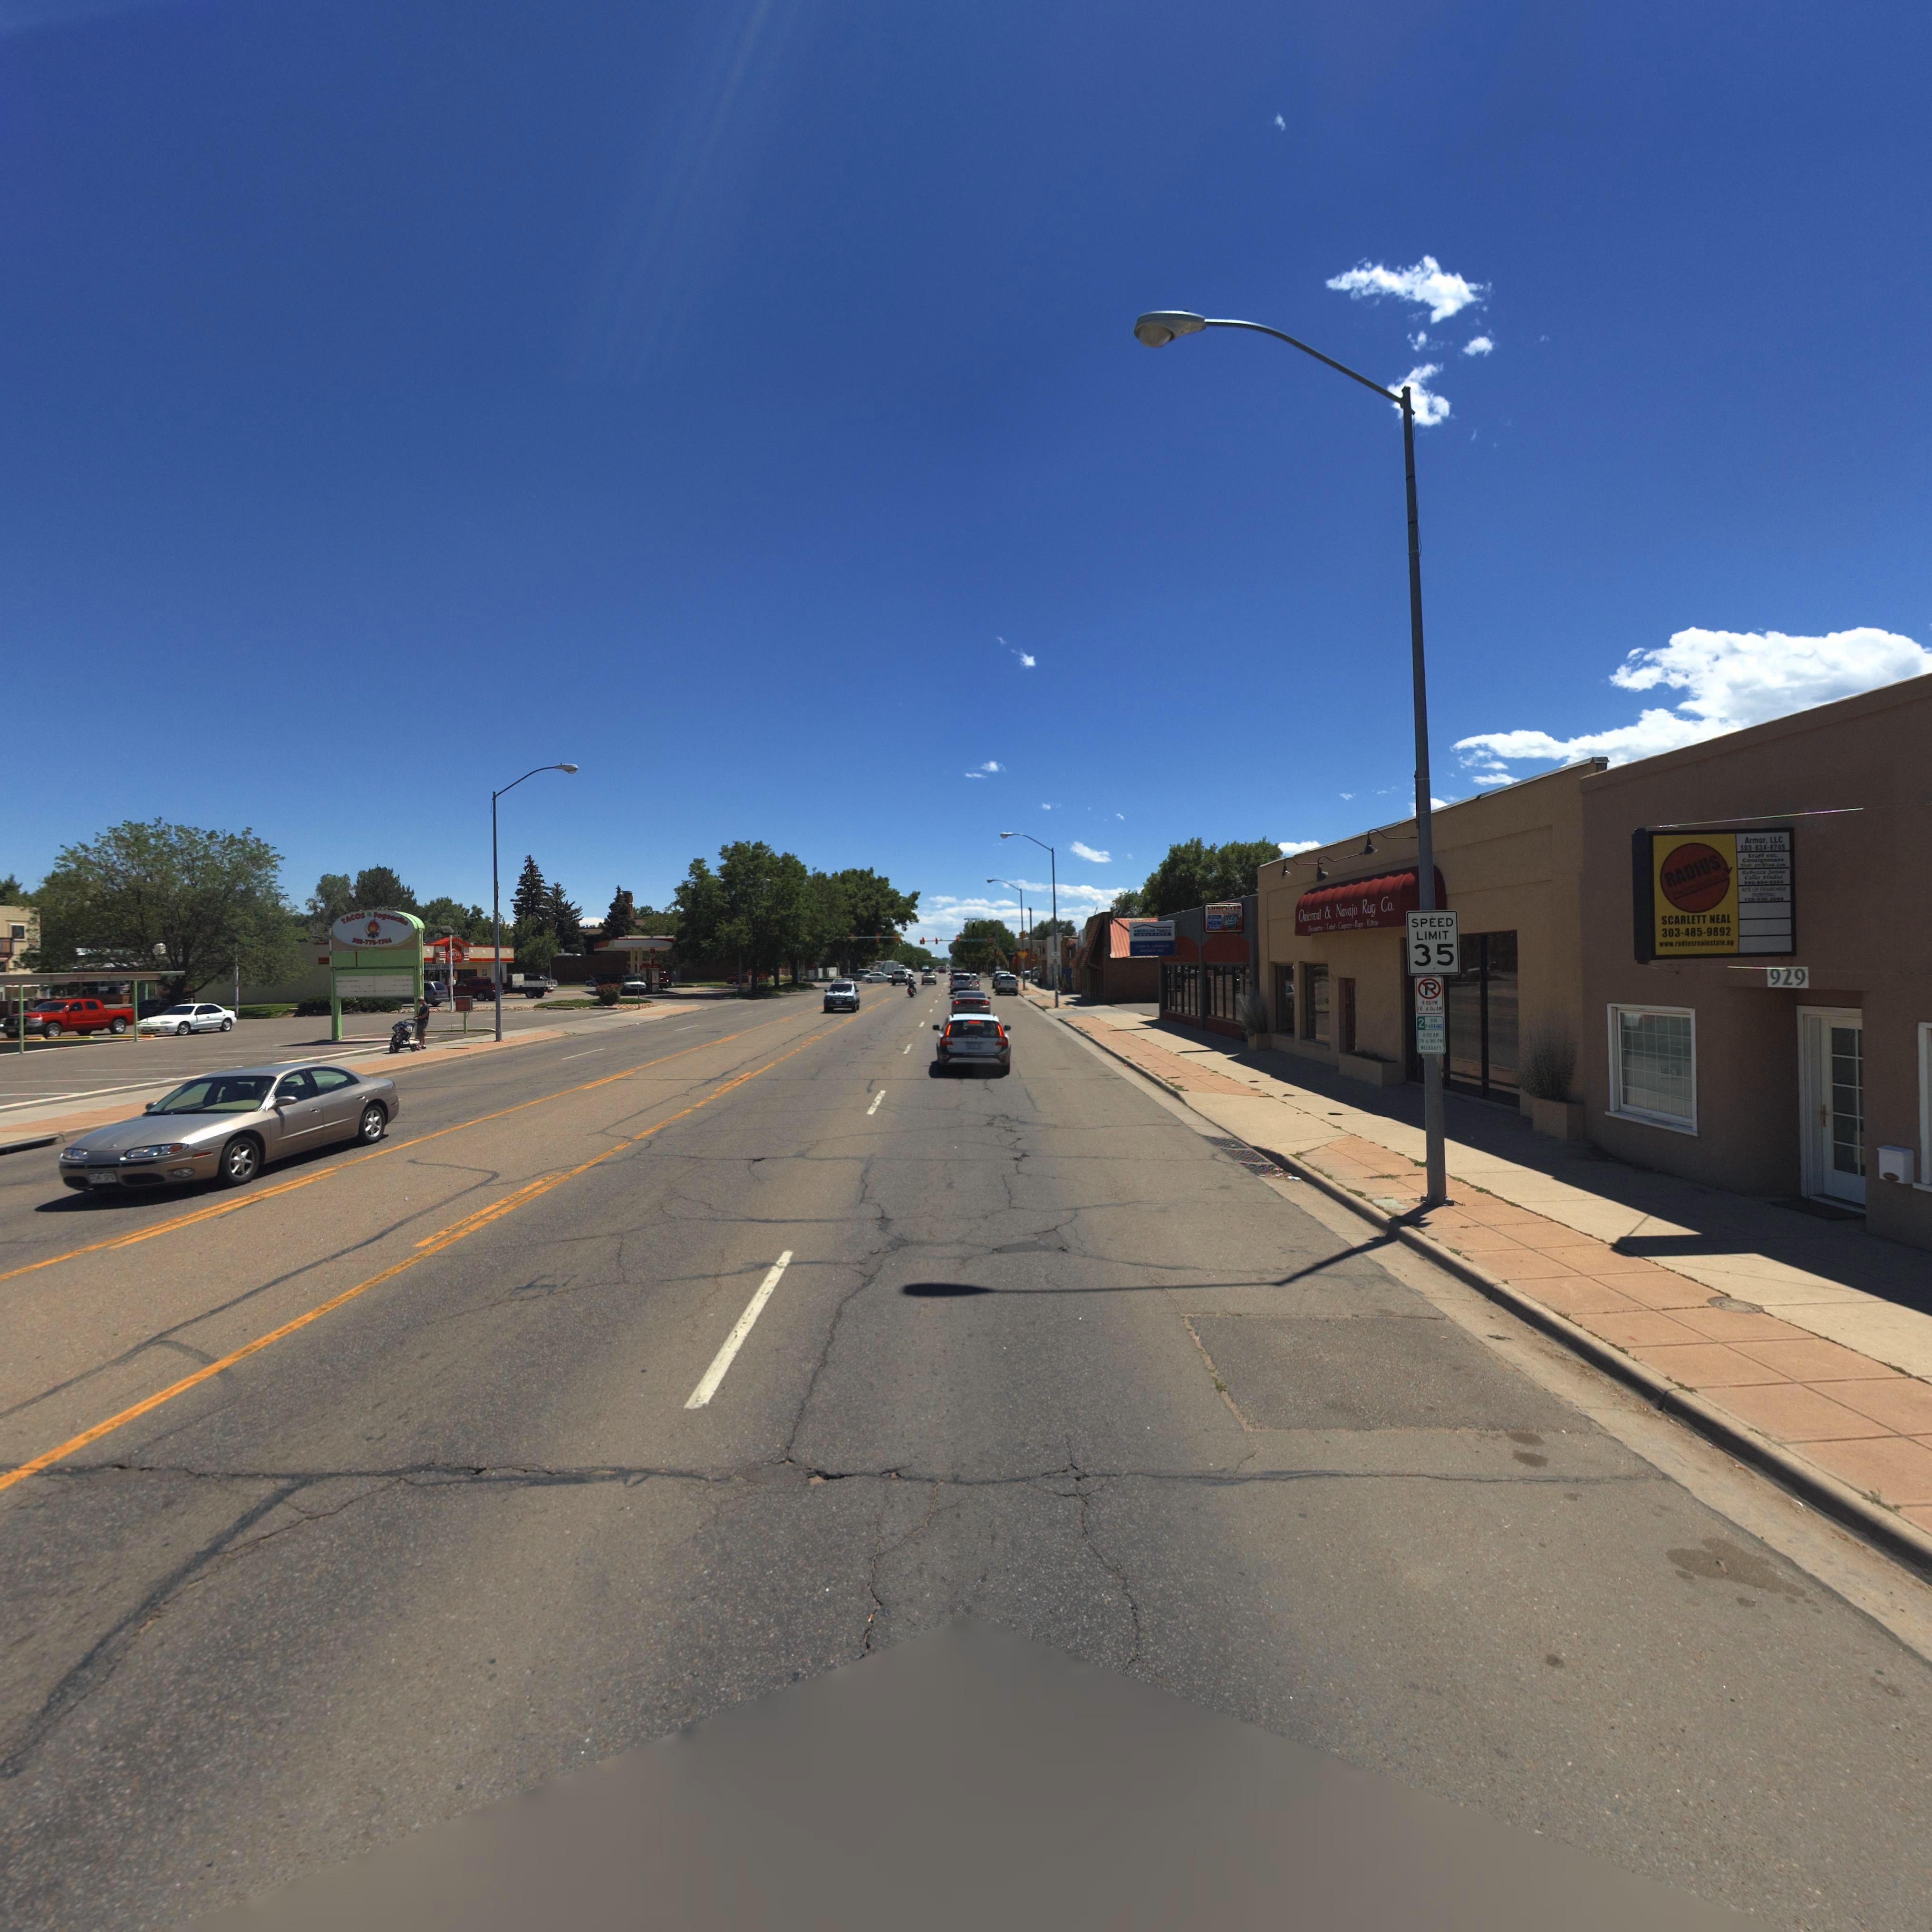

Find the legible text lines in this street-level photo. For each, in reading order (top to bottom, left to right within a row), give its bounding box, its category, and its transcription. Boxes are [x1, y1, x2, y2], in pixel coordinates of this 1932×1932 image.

[1744, 836, 1783, 843] StreetNumber: Armor, LLC
[1748, 852, 1778, 858] BusinessName: Staff etc.
[1741, 857, 1784, 864] BusinessName: Consignment
[1662, 854, 1721, 889] BusinessName: RADIUS
[1744, 874, 1784, 879] BusinessName: Cello Studio
[1298, 896, 1394, 922] BusinessName: Oriental & Navajo Rug Co.
[340, 911, 408, 925] BusinessName: TACOS * Fagoncito
[1133, 928, 1171, 932] BusinessName: AMERICAN FAMILY
[1136, 933, 1169, 936] BusinessName: INSURANCE
[1769, 967, 1806, 986] StreetNumber: 929